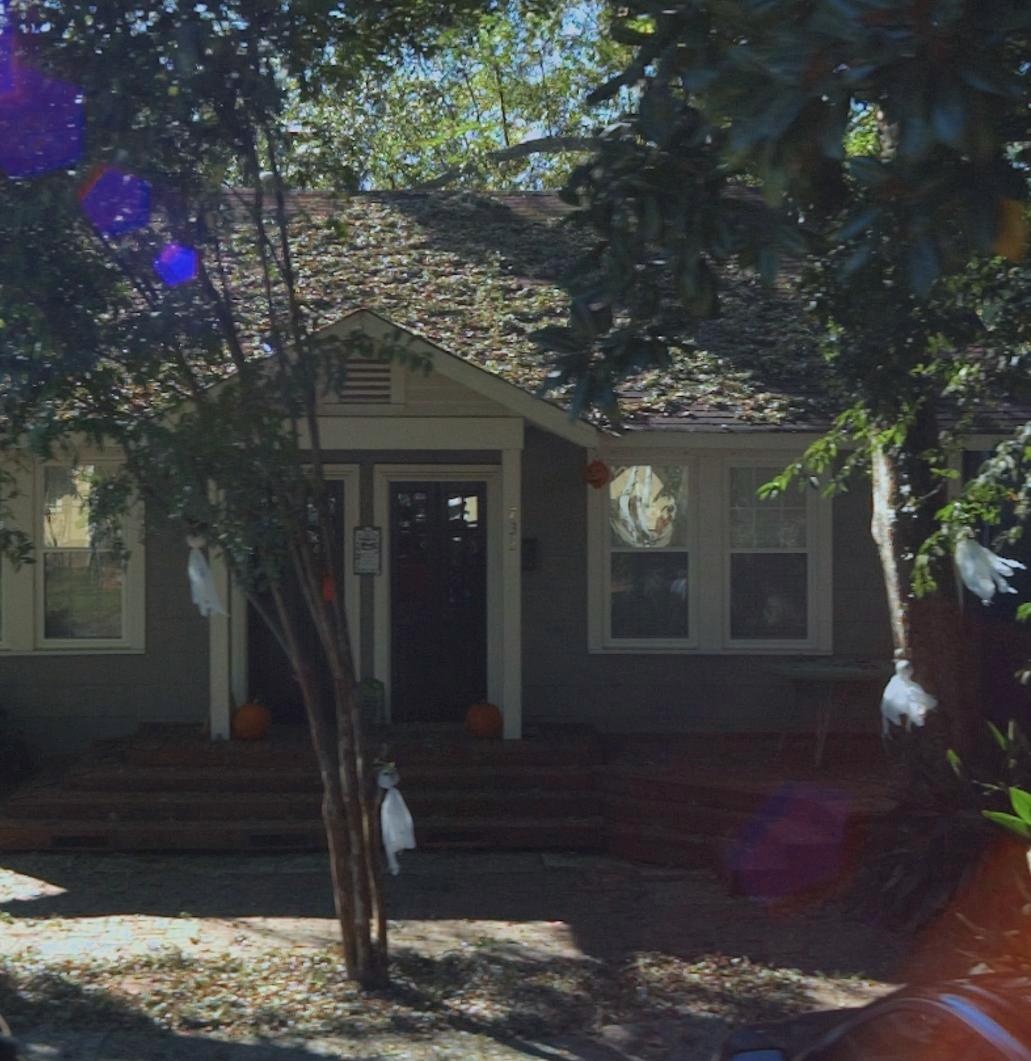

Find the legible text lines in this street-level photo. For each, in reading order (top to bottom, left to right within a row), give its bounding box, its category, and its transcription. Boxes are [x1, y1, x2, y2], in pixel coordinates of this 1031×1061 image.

[506, 504, 520, 554] StreetNumber: 732